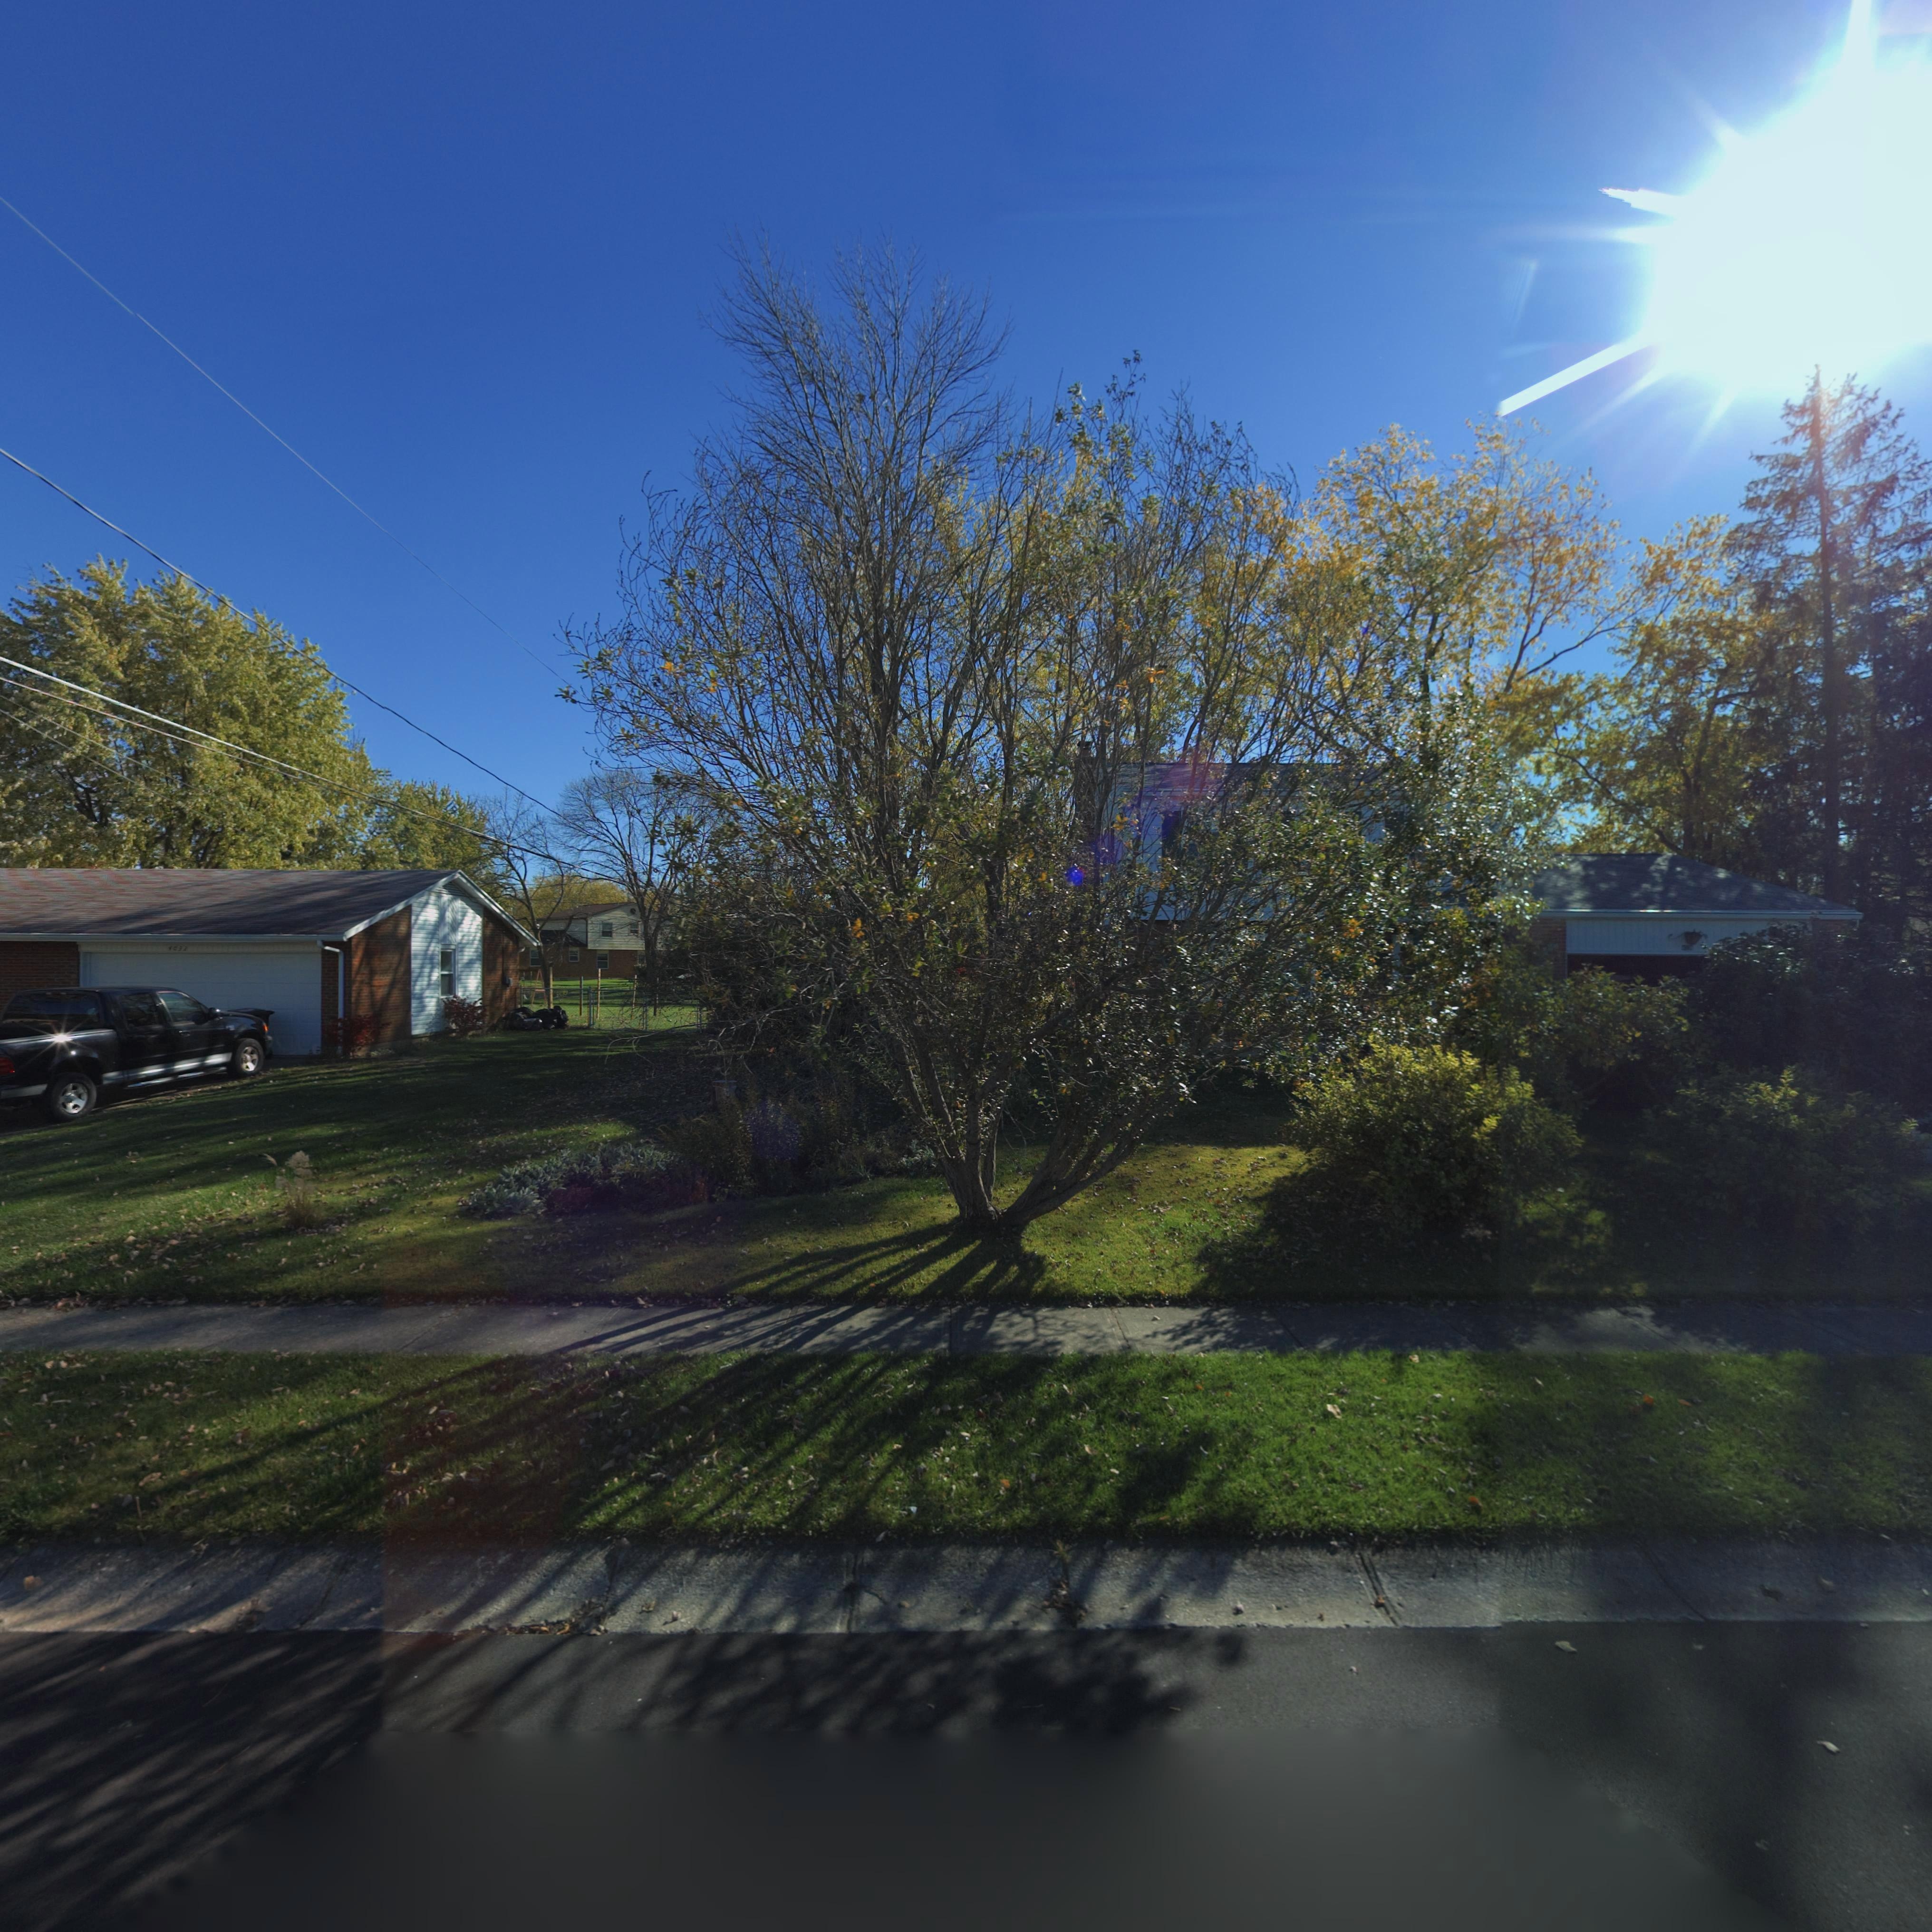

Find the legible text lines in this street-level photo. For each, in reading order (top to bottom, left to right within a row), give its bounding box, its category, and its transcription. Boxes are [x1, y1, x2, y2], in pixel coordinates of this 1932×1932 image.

[167, 945, 189, 952] StreetNumber: *03*